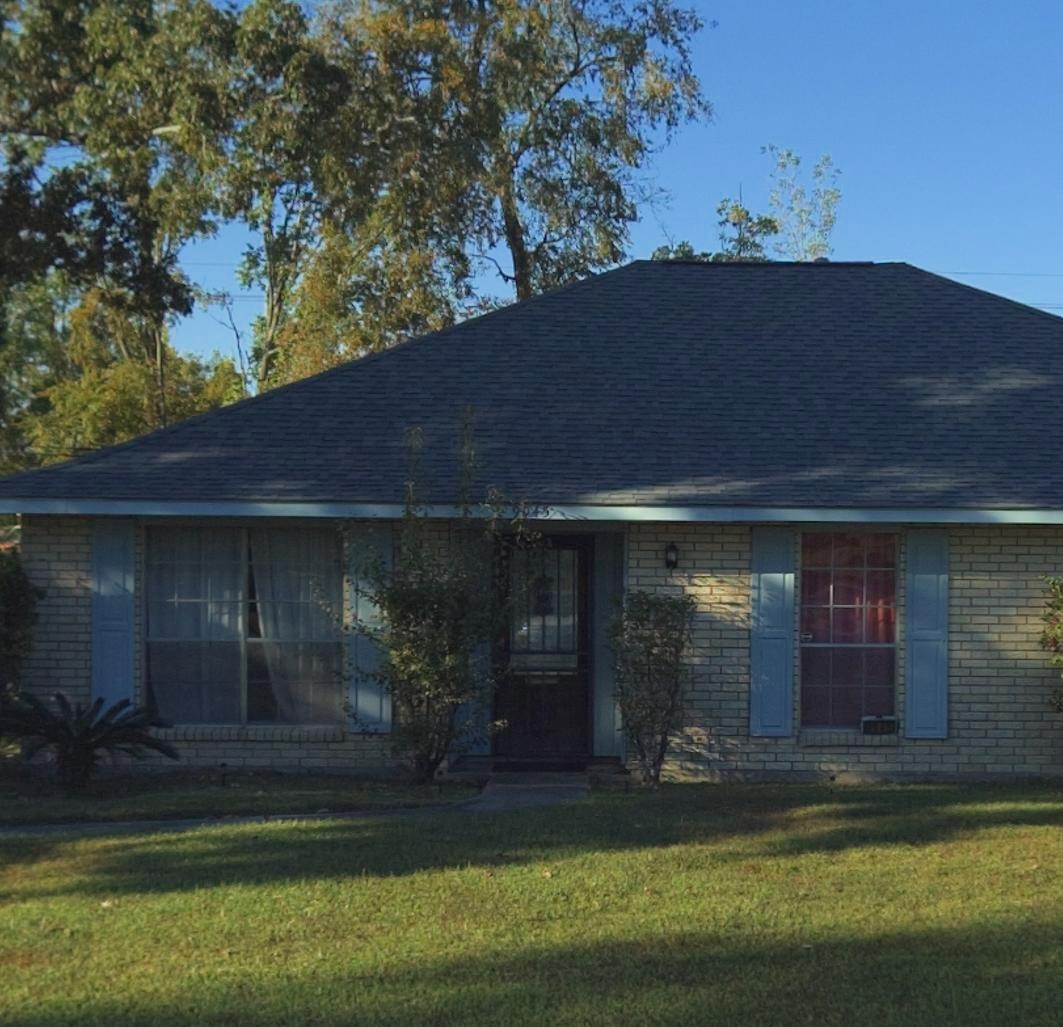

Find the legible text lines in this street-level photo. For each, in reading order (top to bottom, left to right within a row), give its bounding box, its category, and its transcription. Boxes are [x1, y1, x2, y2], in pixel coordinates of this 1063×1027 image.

[511, 504, 551, 519] StreetNumber: 9*45